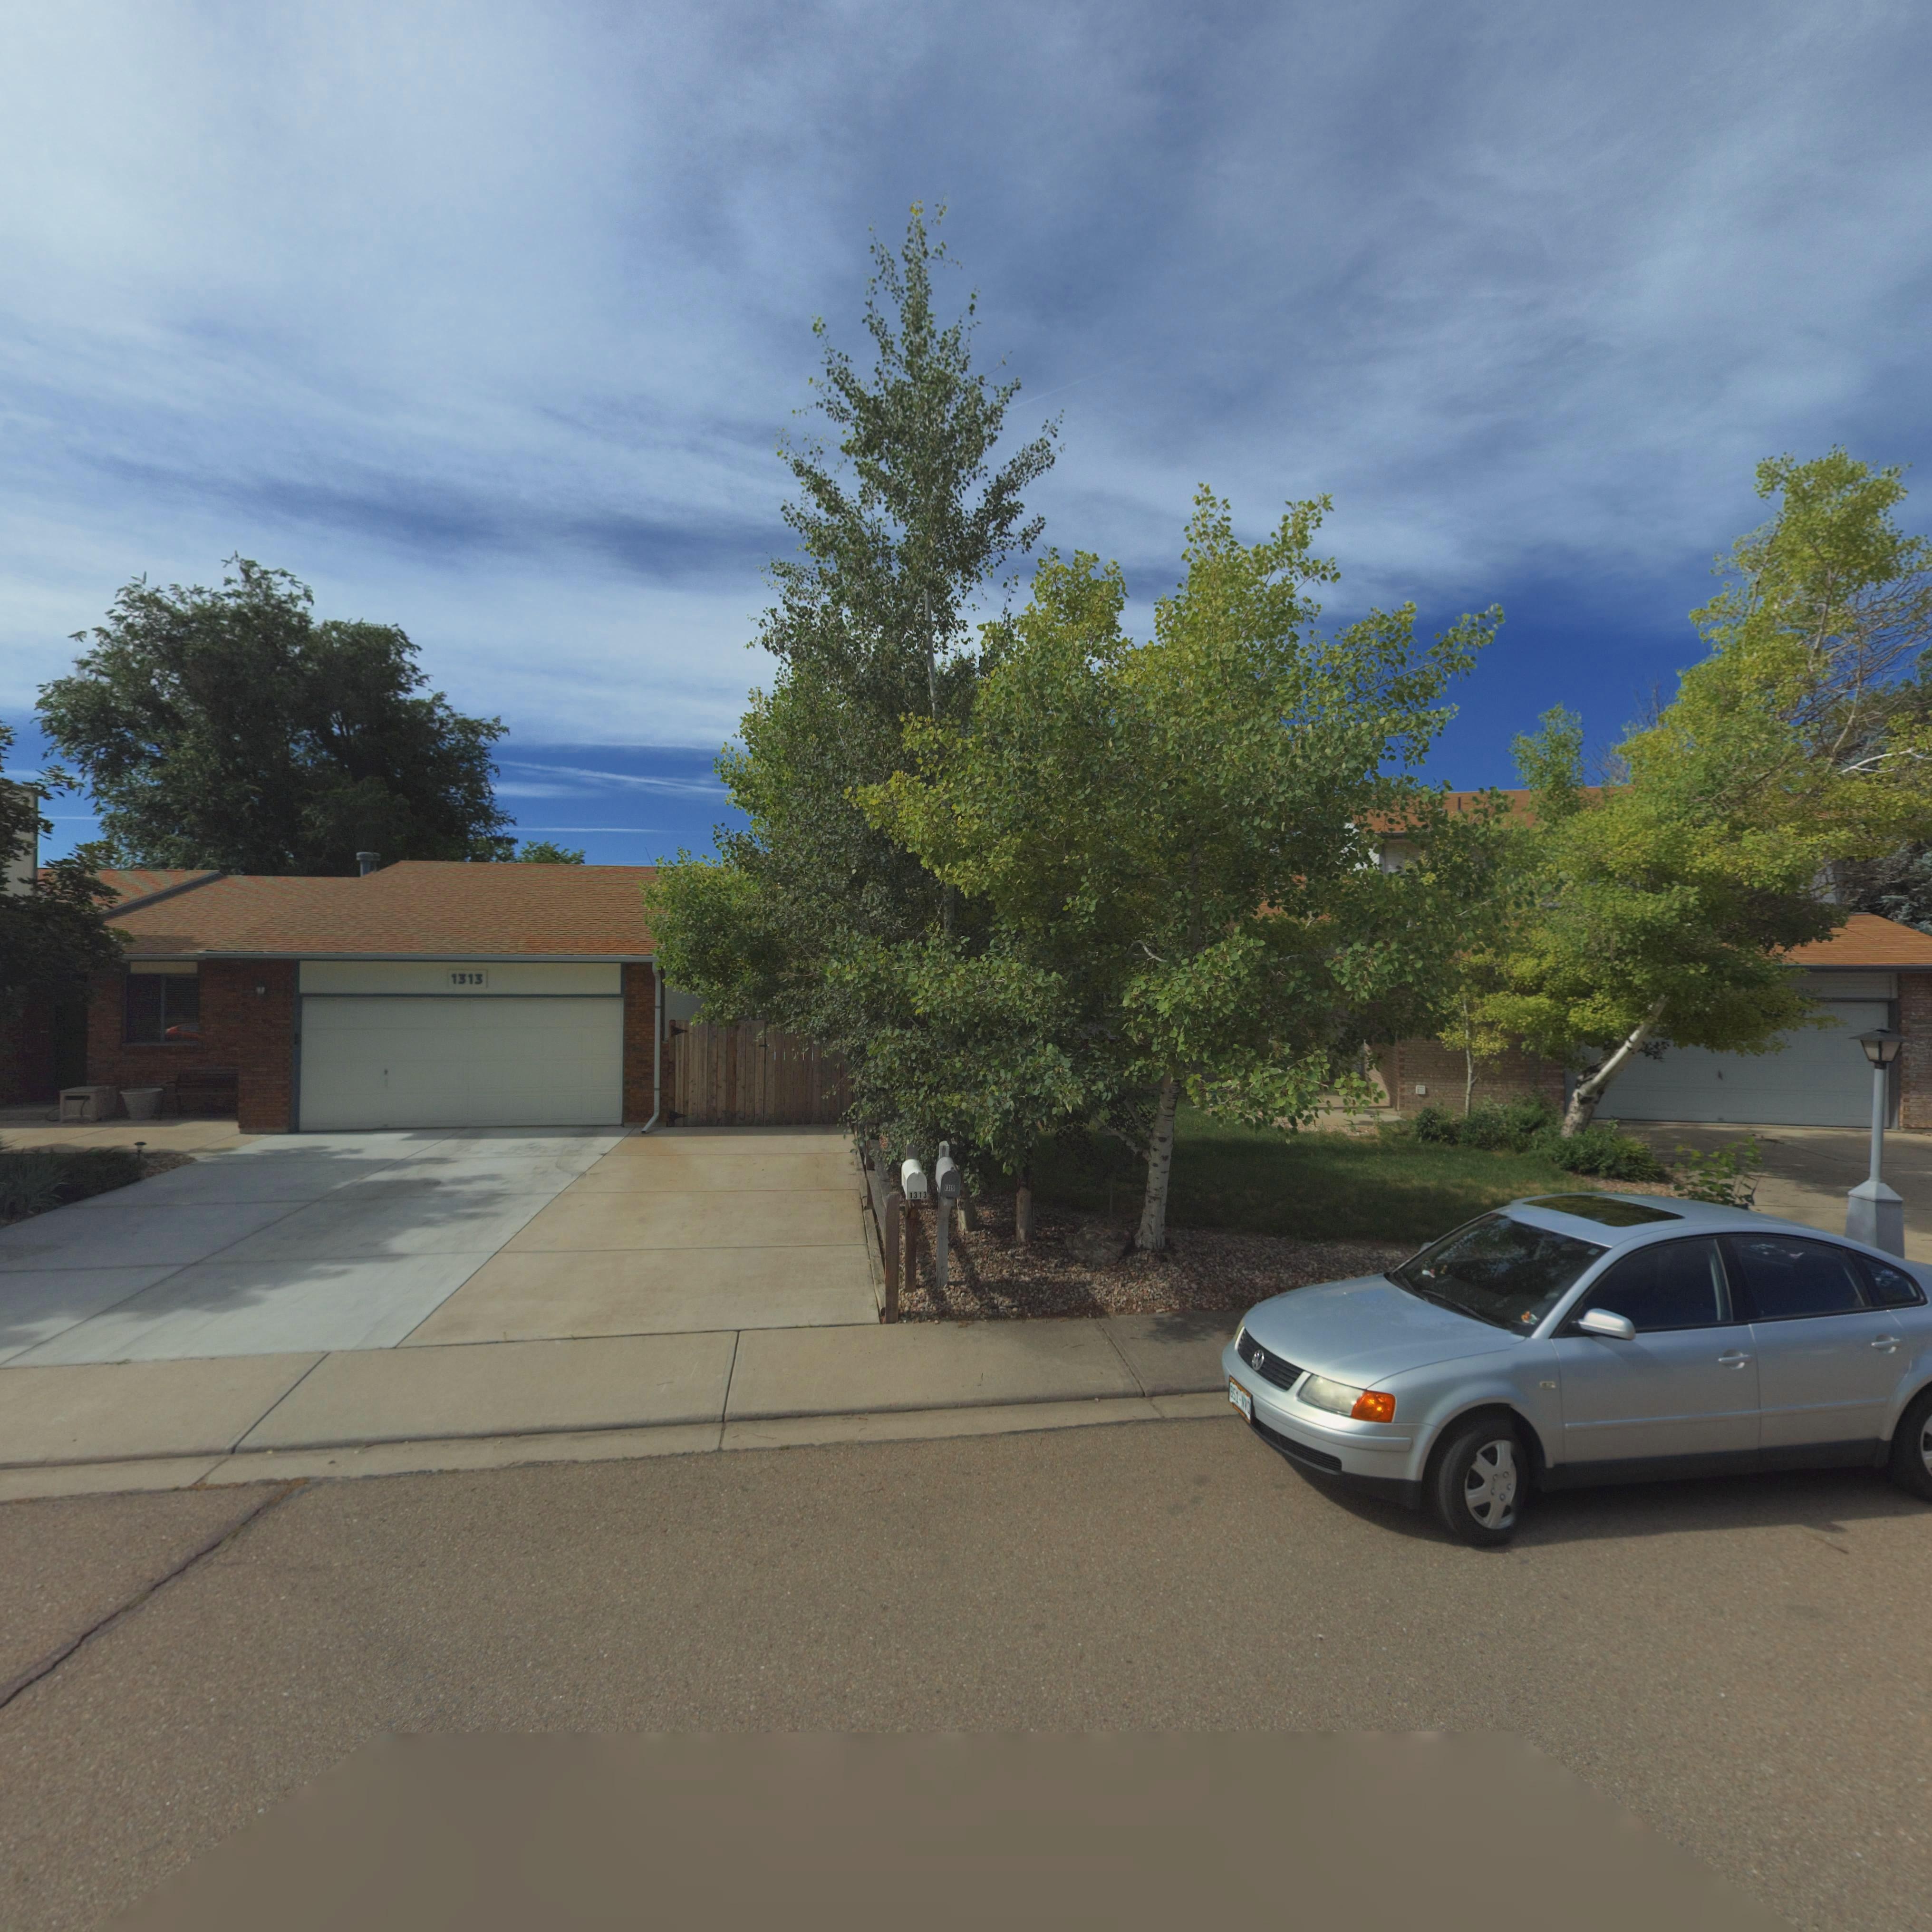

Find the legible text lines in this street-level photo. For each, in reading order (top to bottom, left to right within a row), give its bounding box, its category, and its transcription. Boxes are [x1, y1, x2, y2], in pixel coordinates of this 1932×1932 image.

[450, 973, 483, 985] StreetNumber: 1313
[945, 1185, 955, 1191] StreetNumber: 1319
[909, 1191, 927, 1198] StreetNumber: 1313